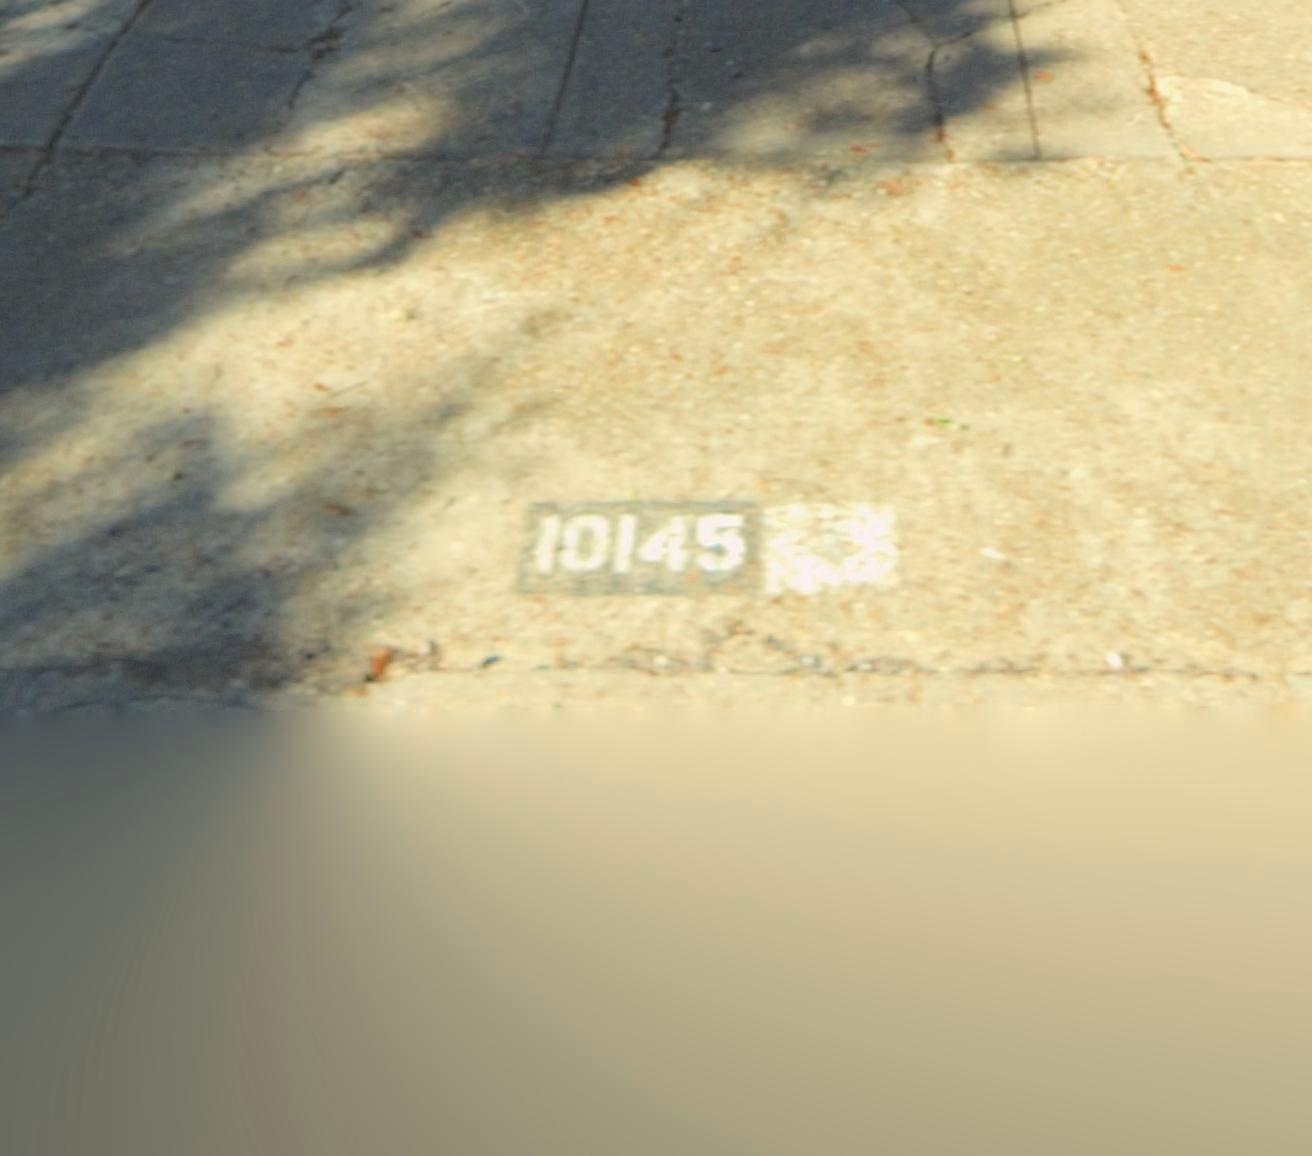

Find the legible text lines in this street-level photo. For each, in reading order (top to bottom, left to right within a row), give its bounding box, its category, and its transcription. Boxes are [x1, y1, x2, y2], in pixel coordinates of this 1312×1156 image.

[529, 511, 749, 576] StreetNumber: 10145